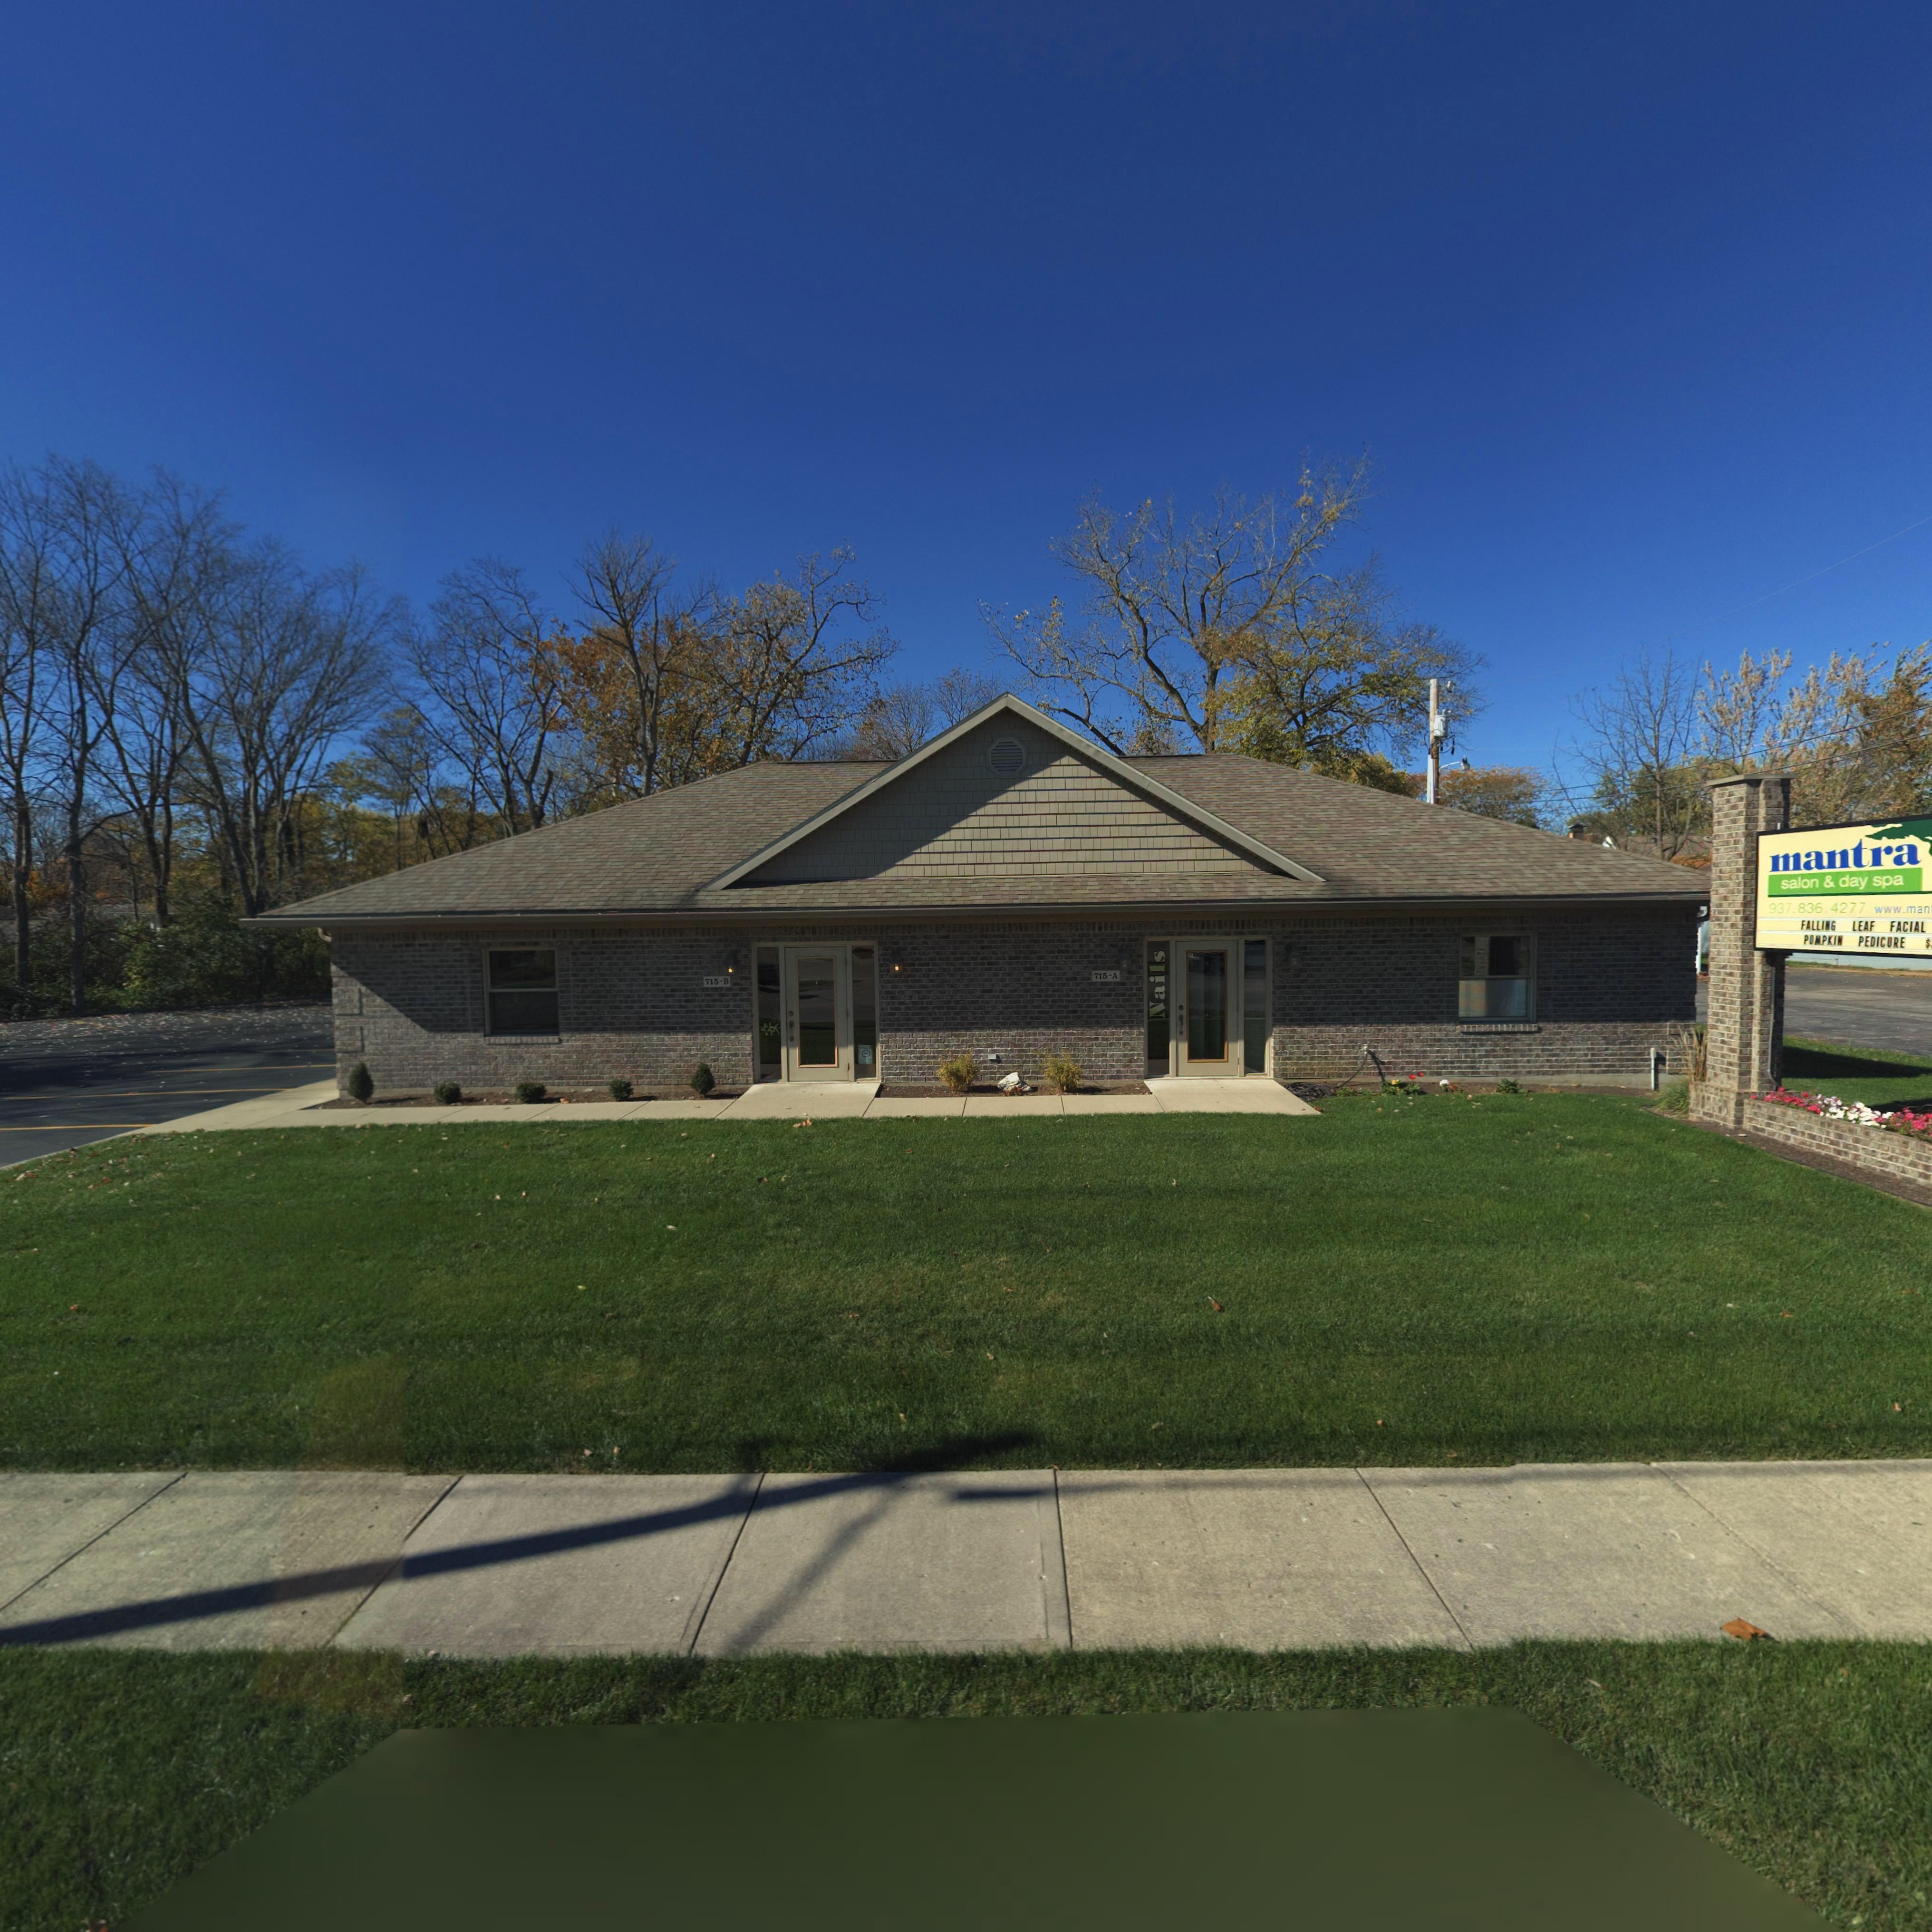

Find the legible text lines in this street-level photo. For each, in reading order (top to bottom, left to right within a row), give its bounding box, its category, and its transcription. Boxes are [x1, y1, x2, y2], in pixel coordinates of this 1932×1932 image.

[1768, 838, 1923, 873] BusinessName: mantra
[1778, 874, 1906, 891] BusinessName: salon & day spa
[704, 977, 730, 986] StreetNumber: 715-B
[1093, 972, 1119, 980] StreetNumber: 715-A